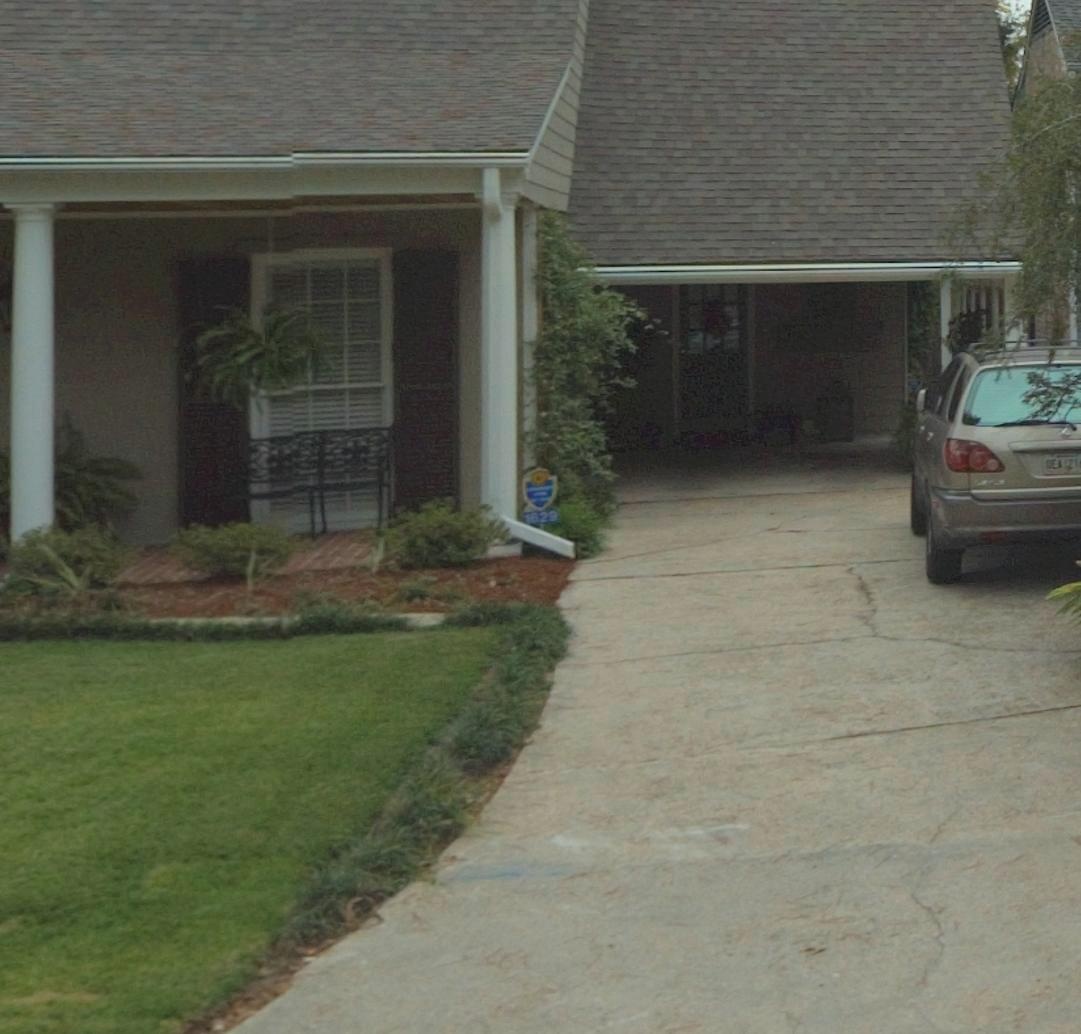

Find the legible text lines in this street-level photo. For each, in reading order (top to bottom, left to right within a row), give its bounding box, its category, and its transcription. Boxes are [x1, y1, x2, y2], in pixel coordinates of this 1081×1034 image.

[1045, 458, 1079, 472] None: OEA 21
[524, 510, 559, 525] StreetNumber: 1629